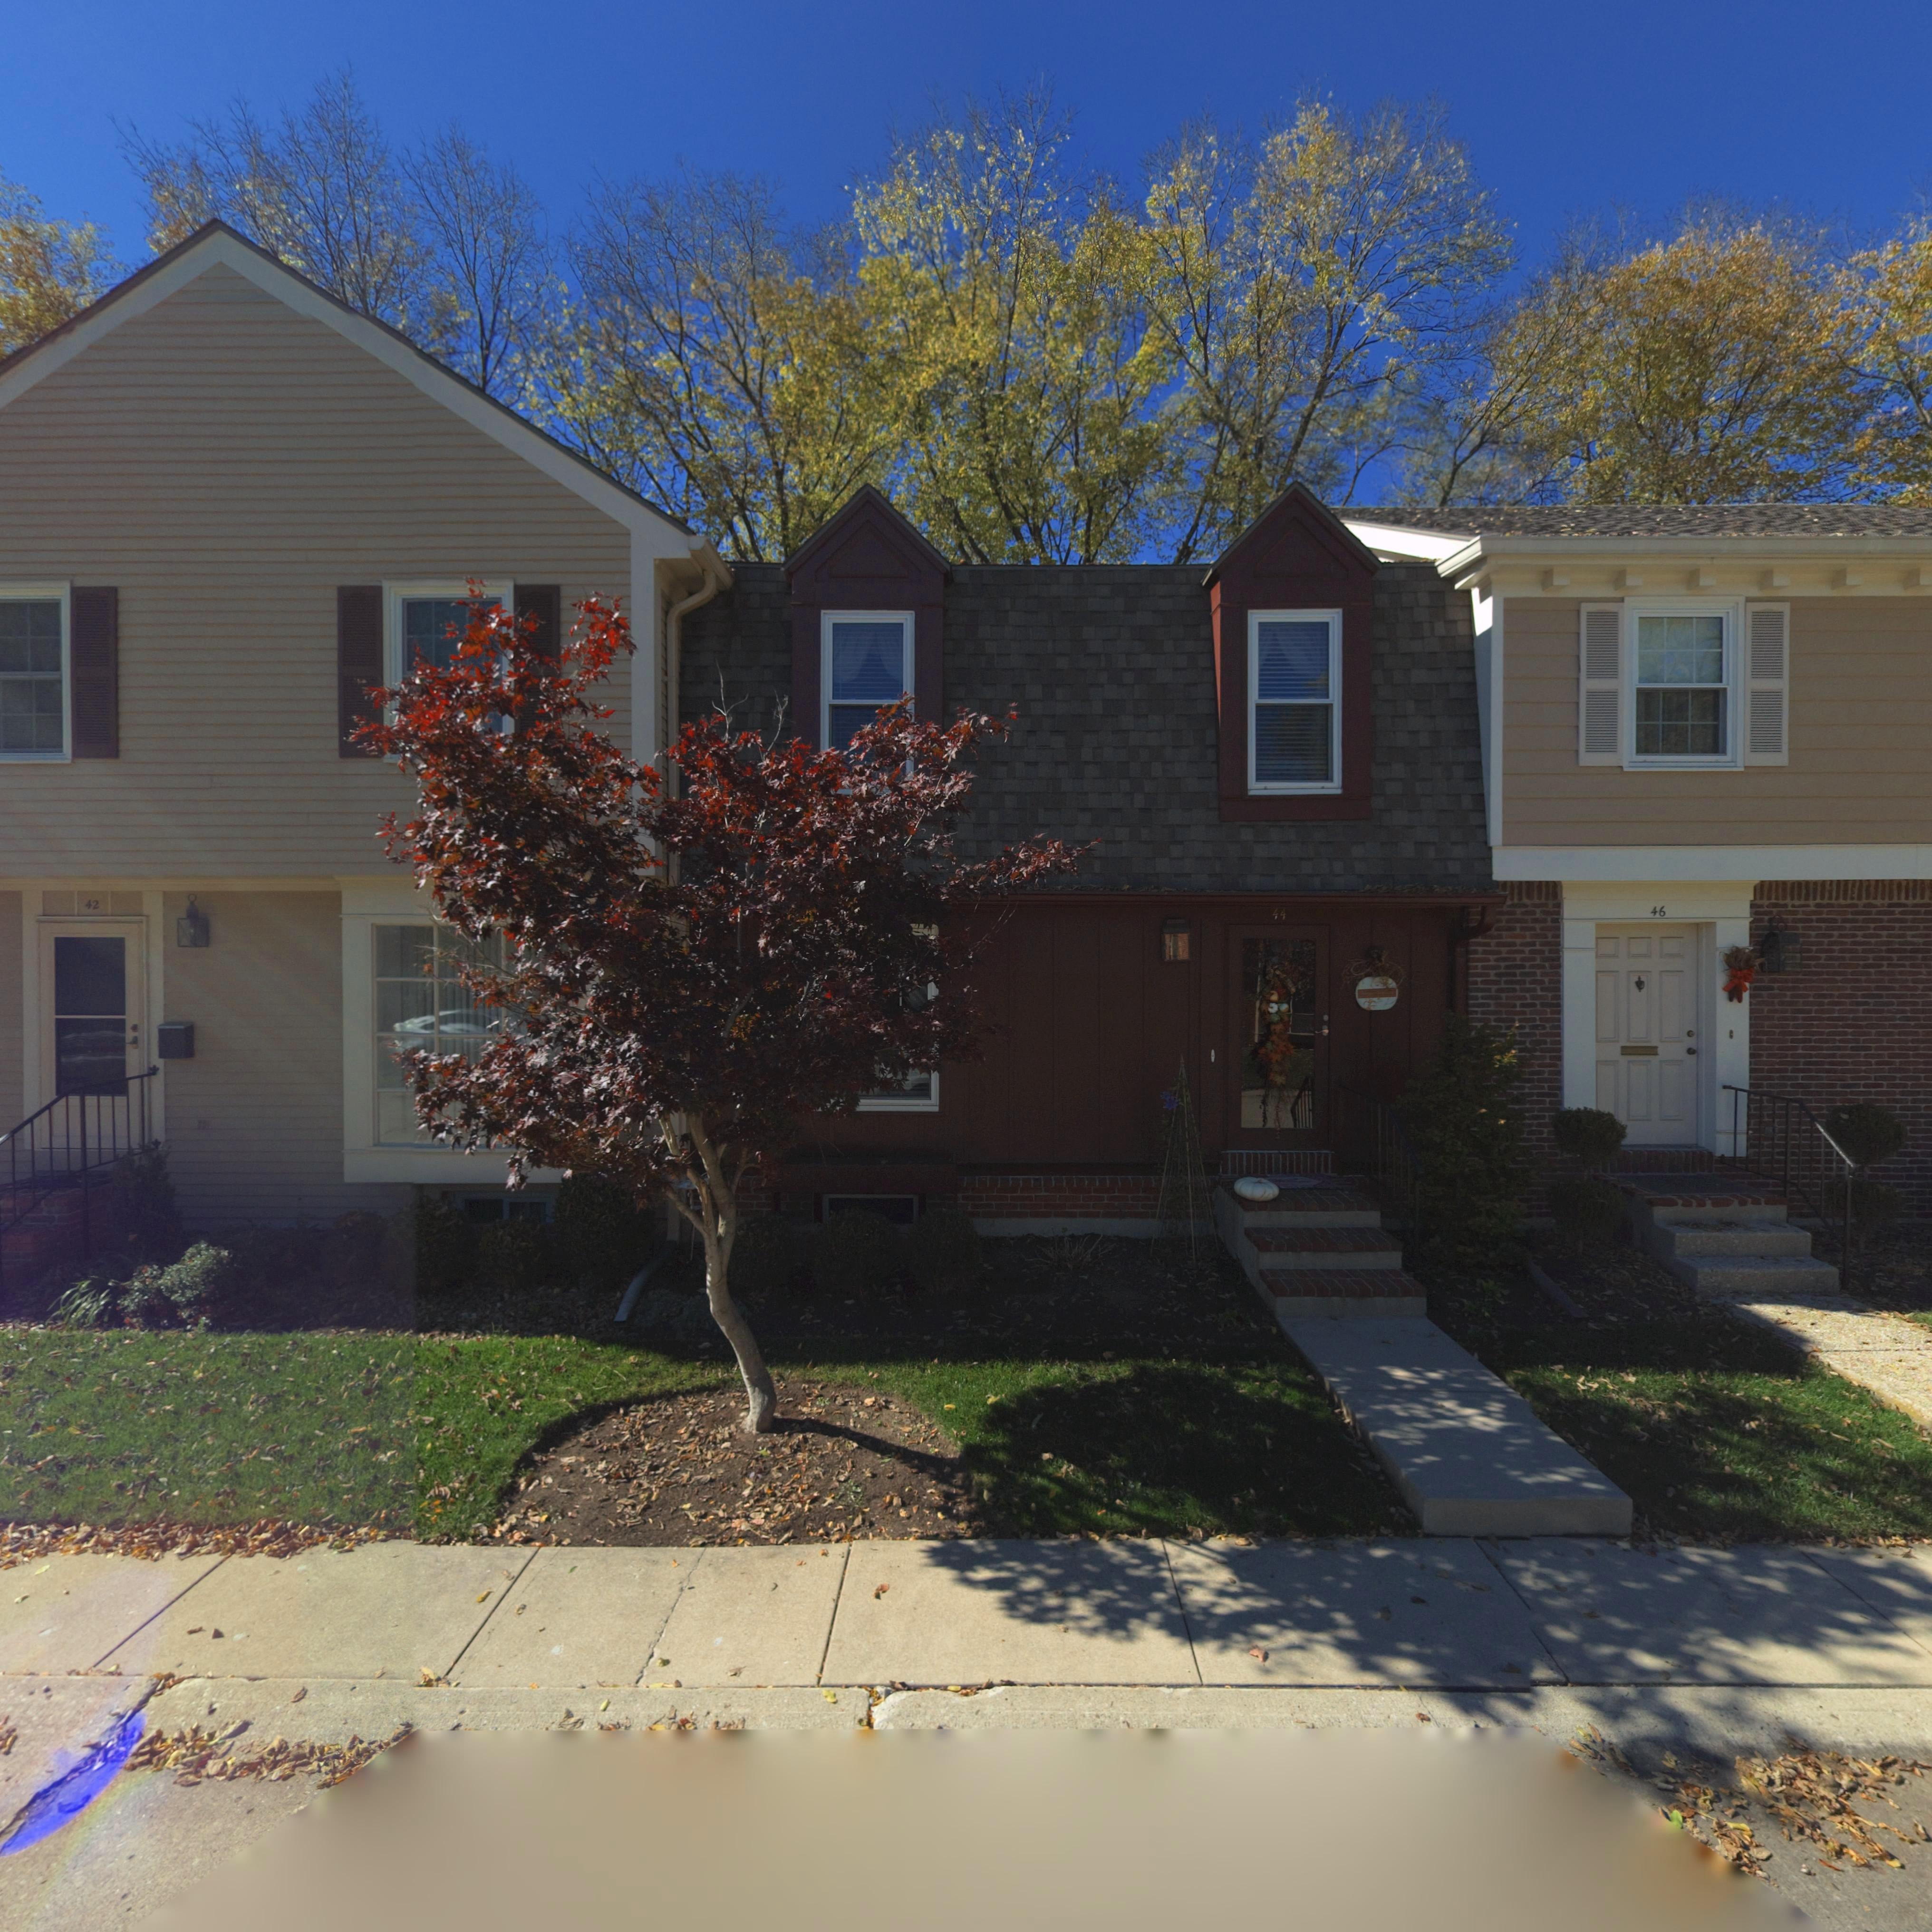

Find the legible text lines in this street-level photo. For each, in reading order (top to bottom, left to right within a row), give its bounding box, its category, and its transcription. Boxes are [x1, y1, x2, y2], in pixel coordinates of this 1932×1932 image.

[84, 899, 100, 911] StreetNumber: 42
[1271, 907, 1287, 921] StreetNumber: 44
[1650, 905, 1666, 917] StreetNumber: 46